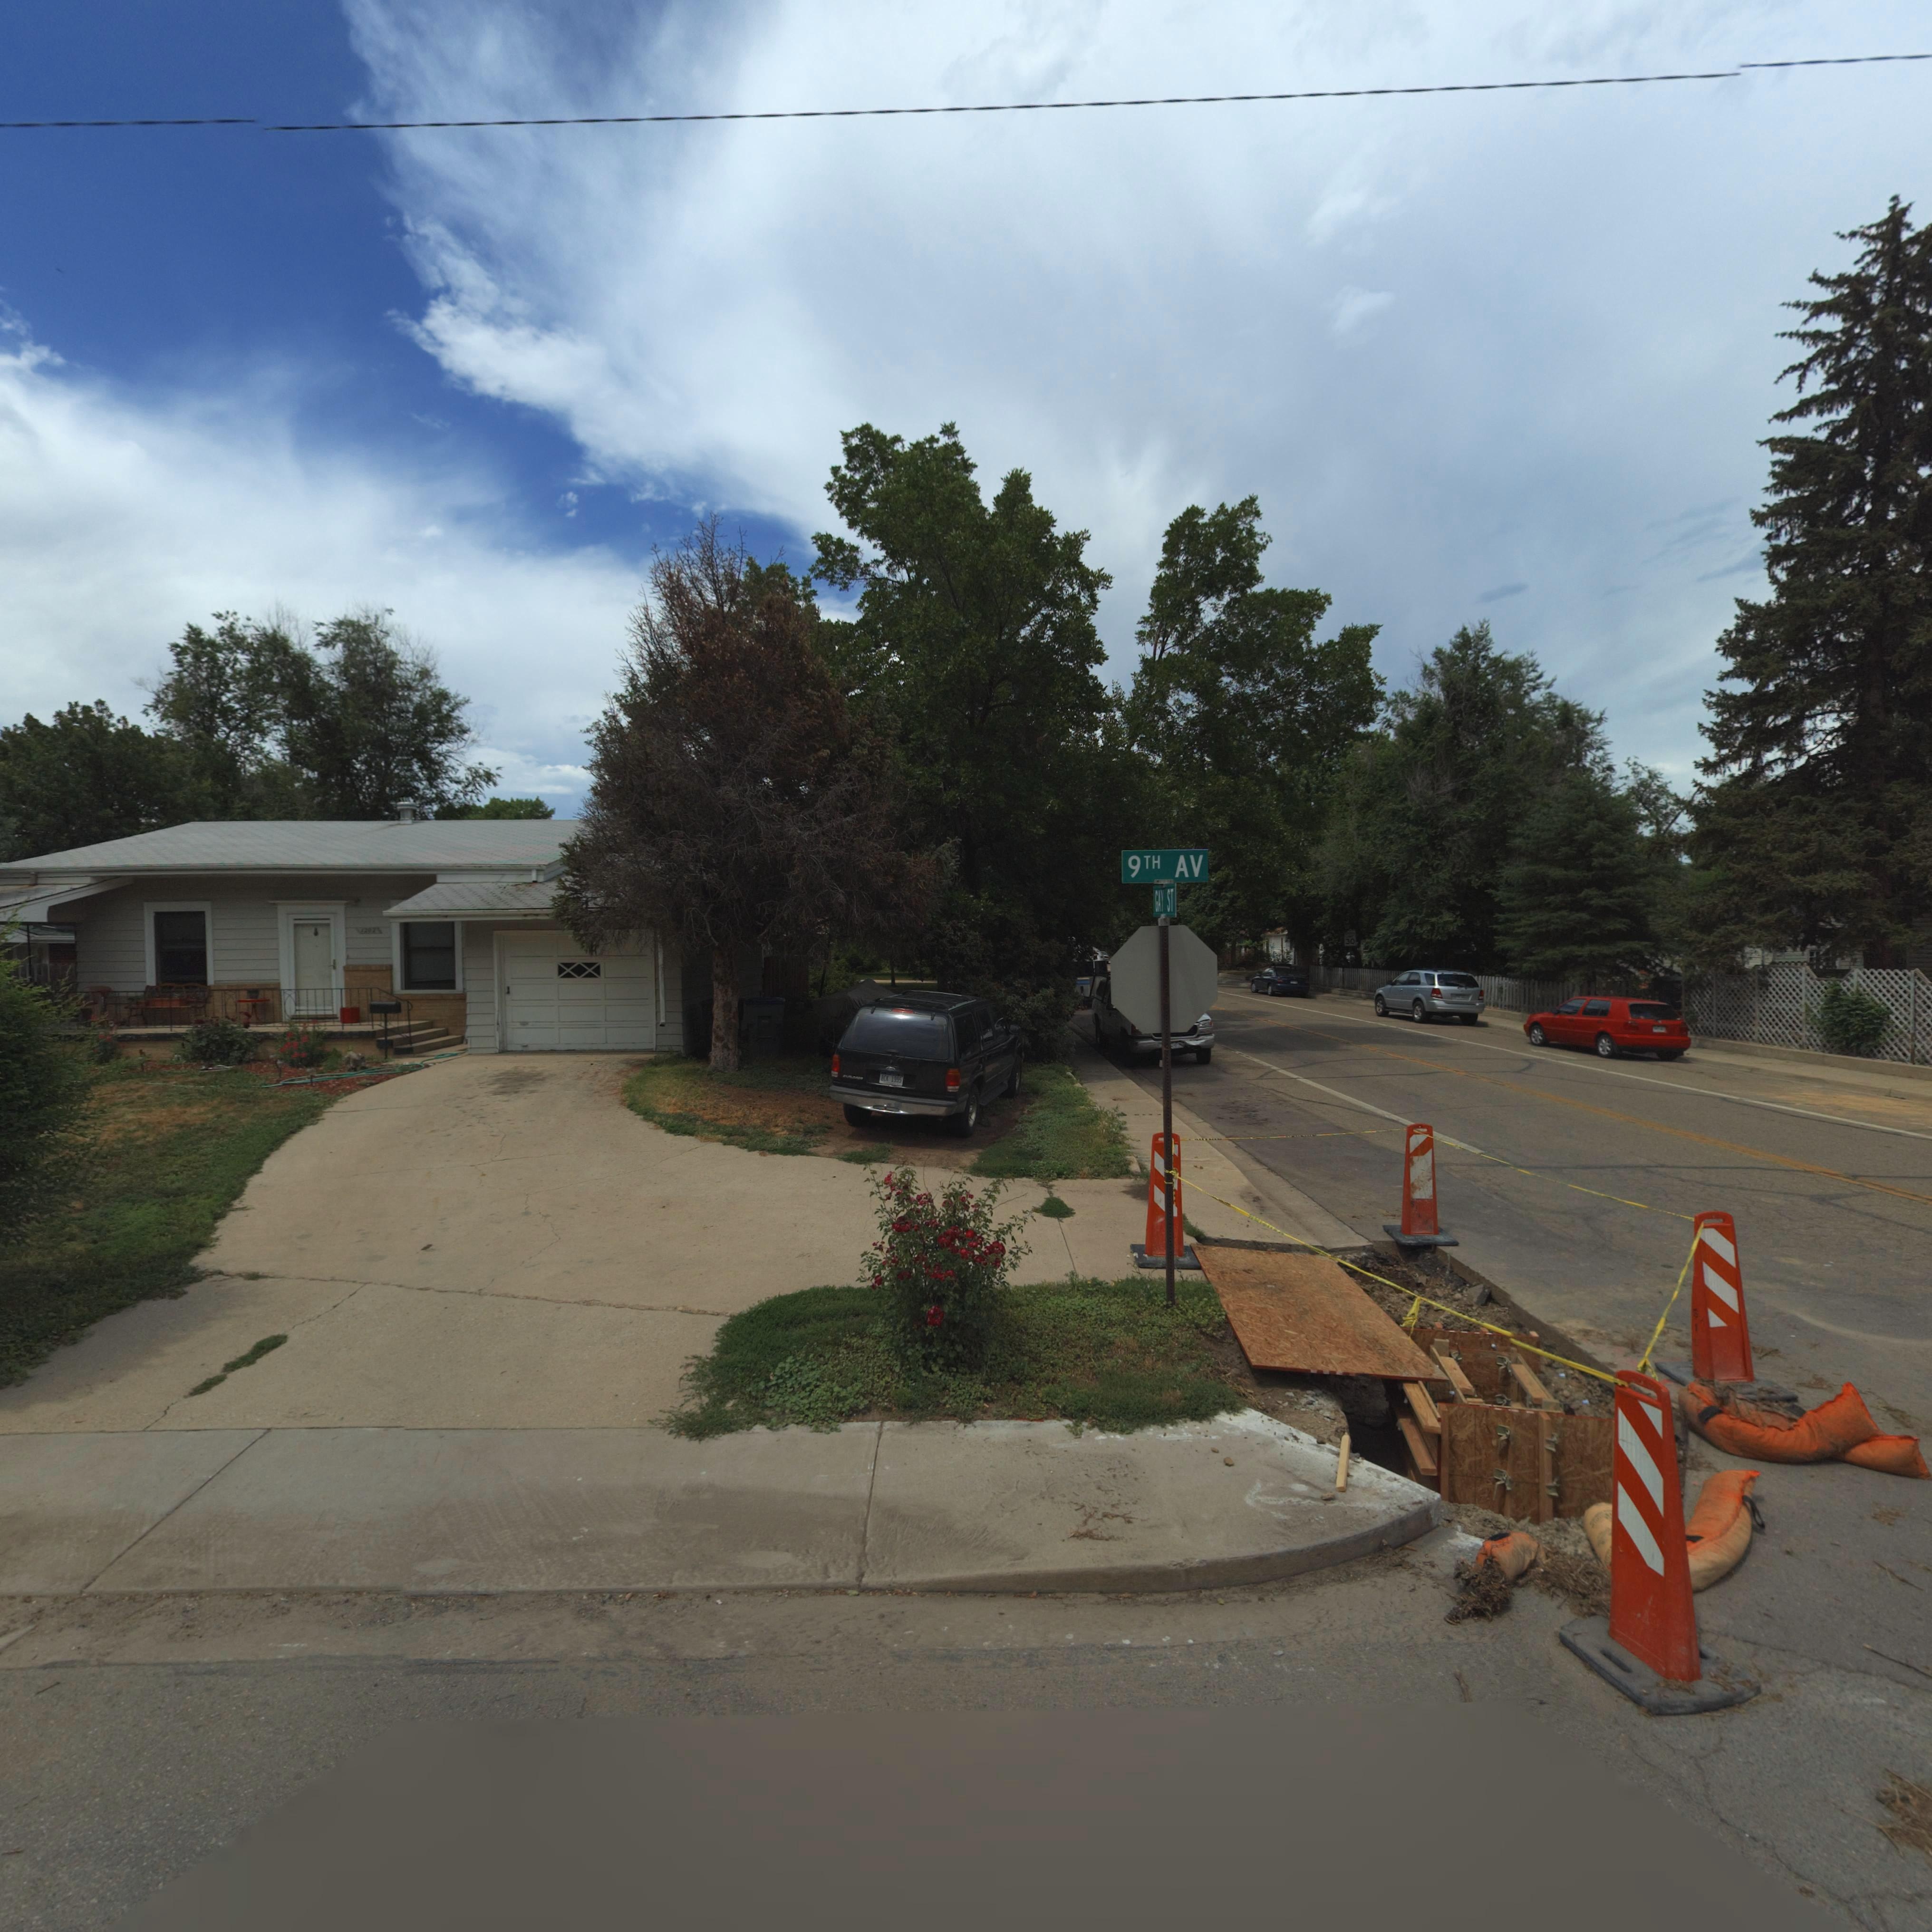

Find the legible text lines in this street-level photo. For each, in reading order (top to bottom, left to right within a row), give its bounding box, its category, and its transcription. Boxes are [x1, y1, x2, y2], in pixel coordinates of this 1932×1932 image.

[1129, 855, 1202, 877] StreetName: 9TH AV
[1153, 888, 1174, 913] StreetName: GAY ST
[359, 927, 377, 934] StreetNumber: 120*